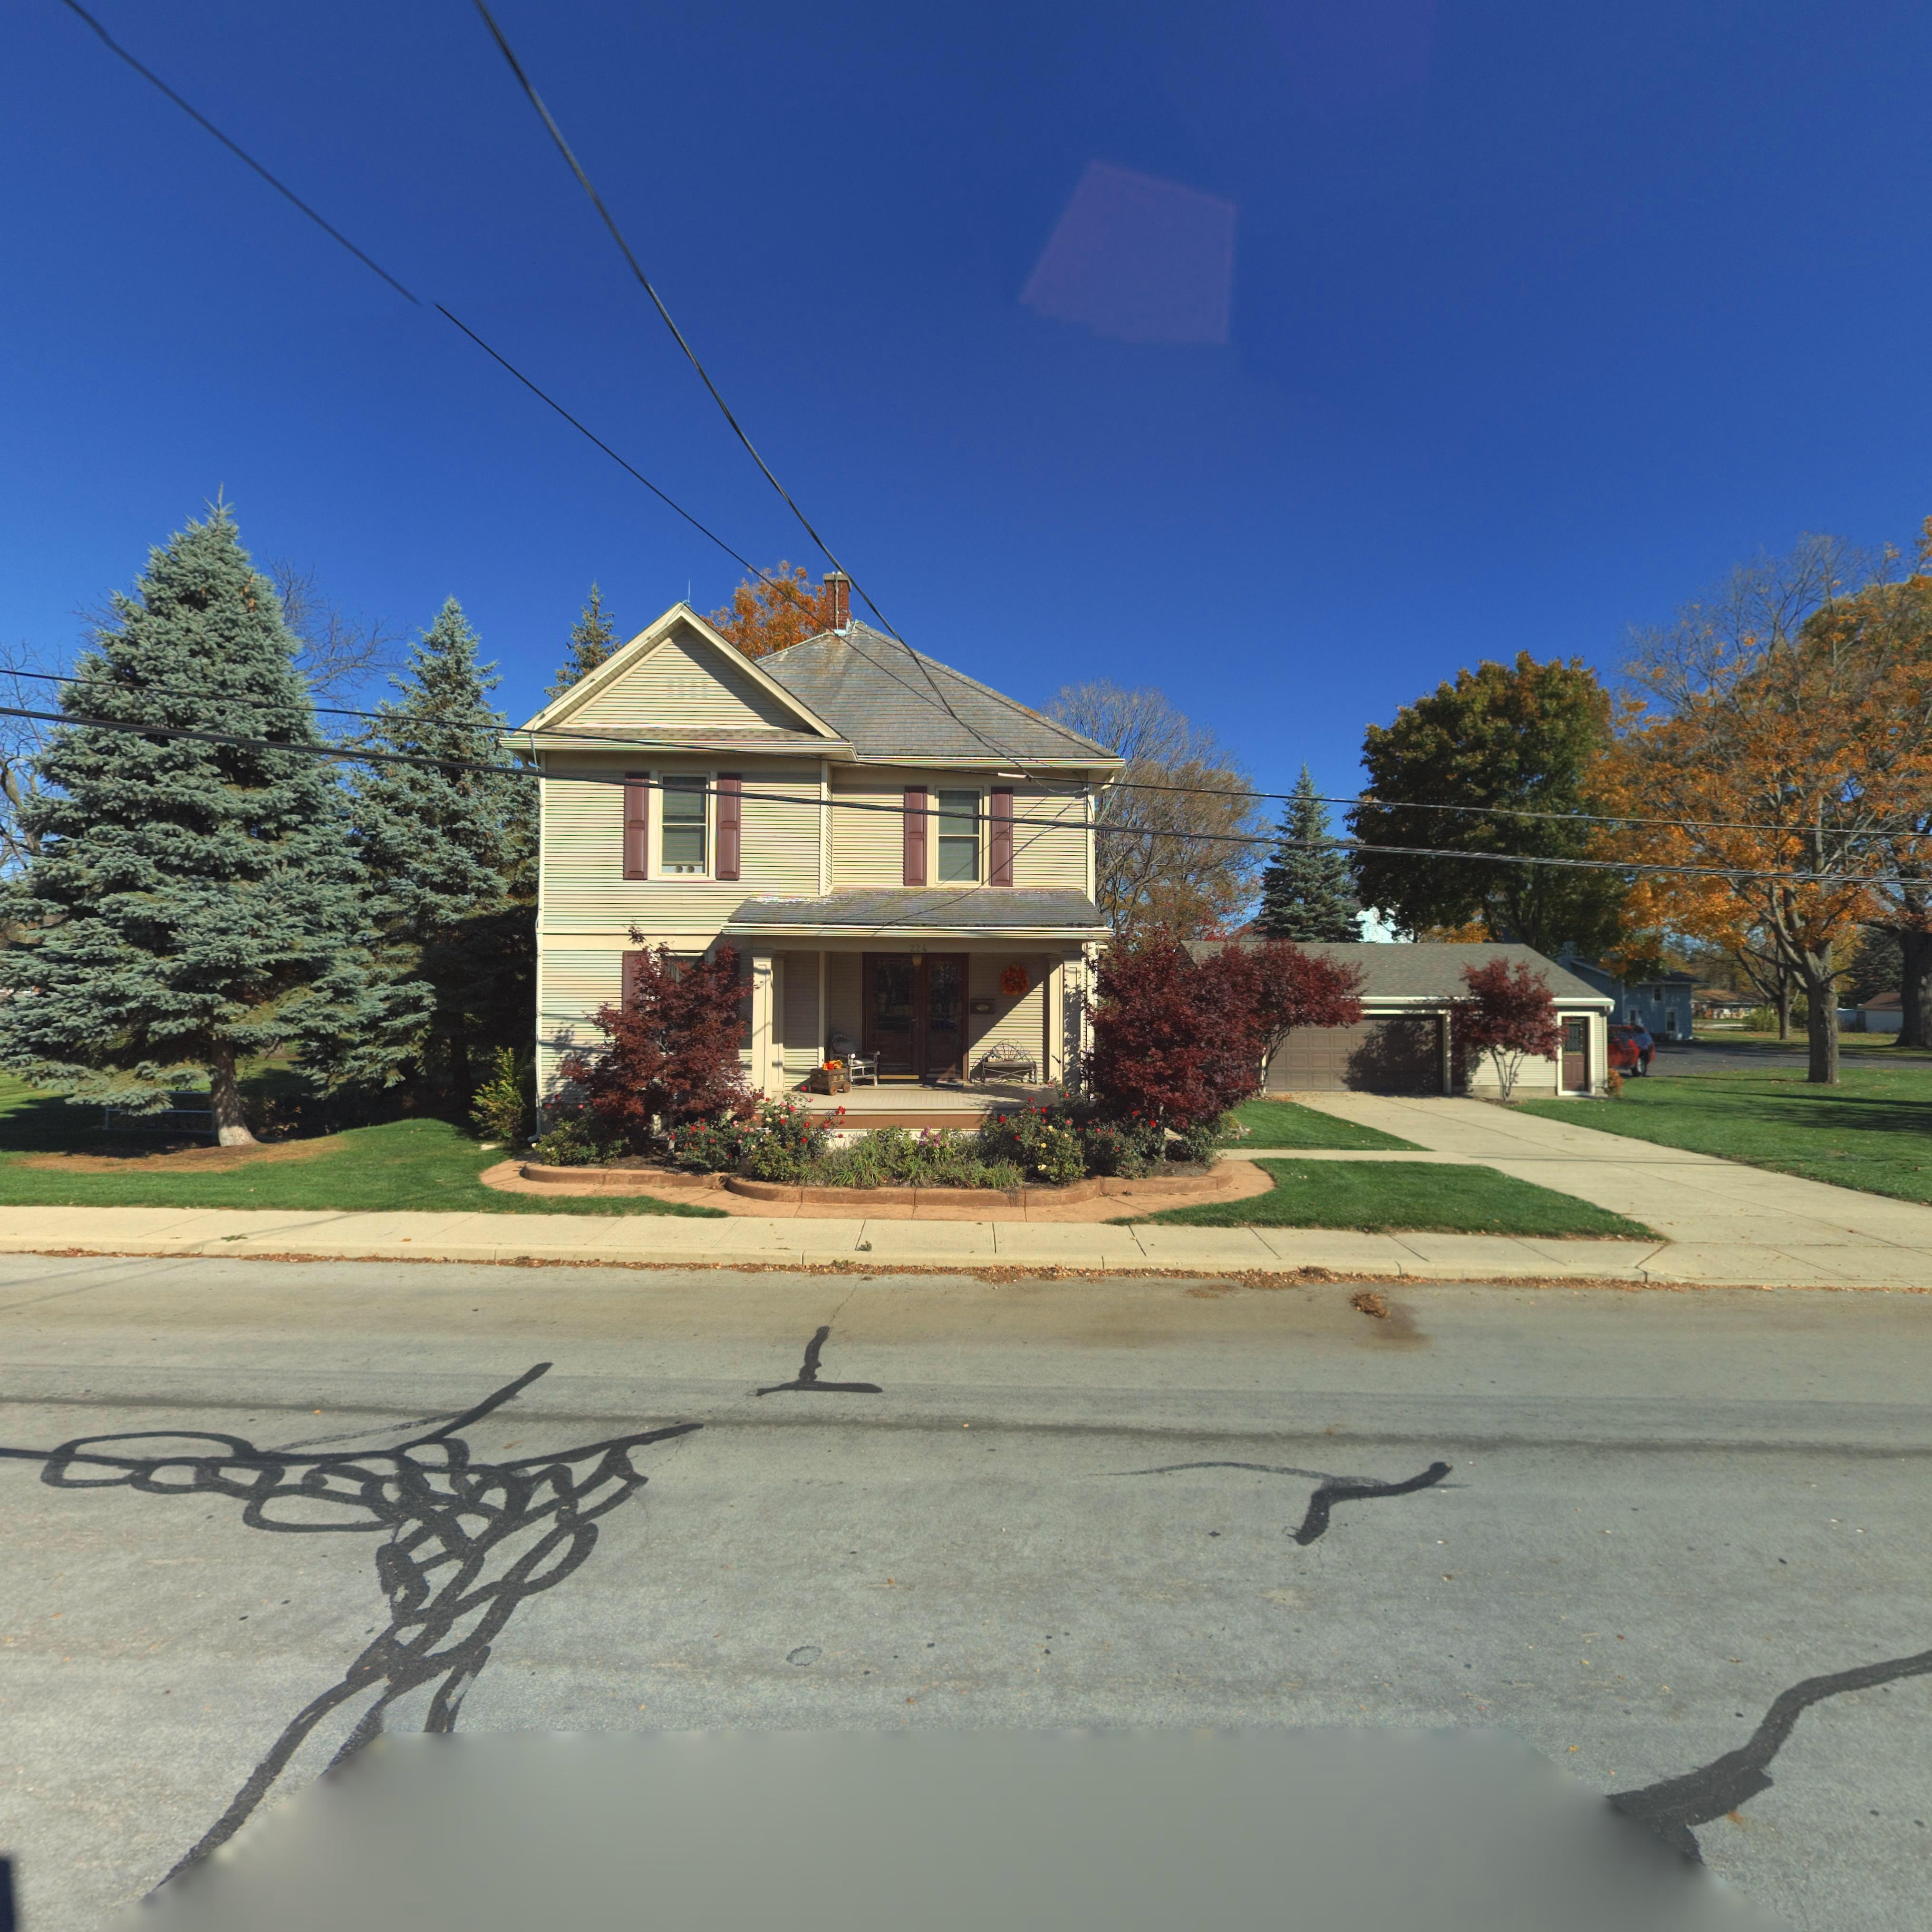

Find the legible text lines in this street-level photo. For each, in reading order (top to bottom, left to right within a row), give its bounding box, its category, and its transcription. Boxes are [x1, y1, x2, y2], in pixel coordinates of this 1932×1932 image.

[909, 944, 927, 952] StreetNumber: 224